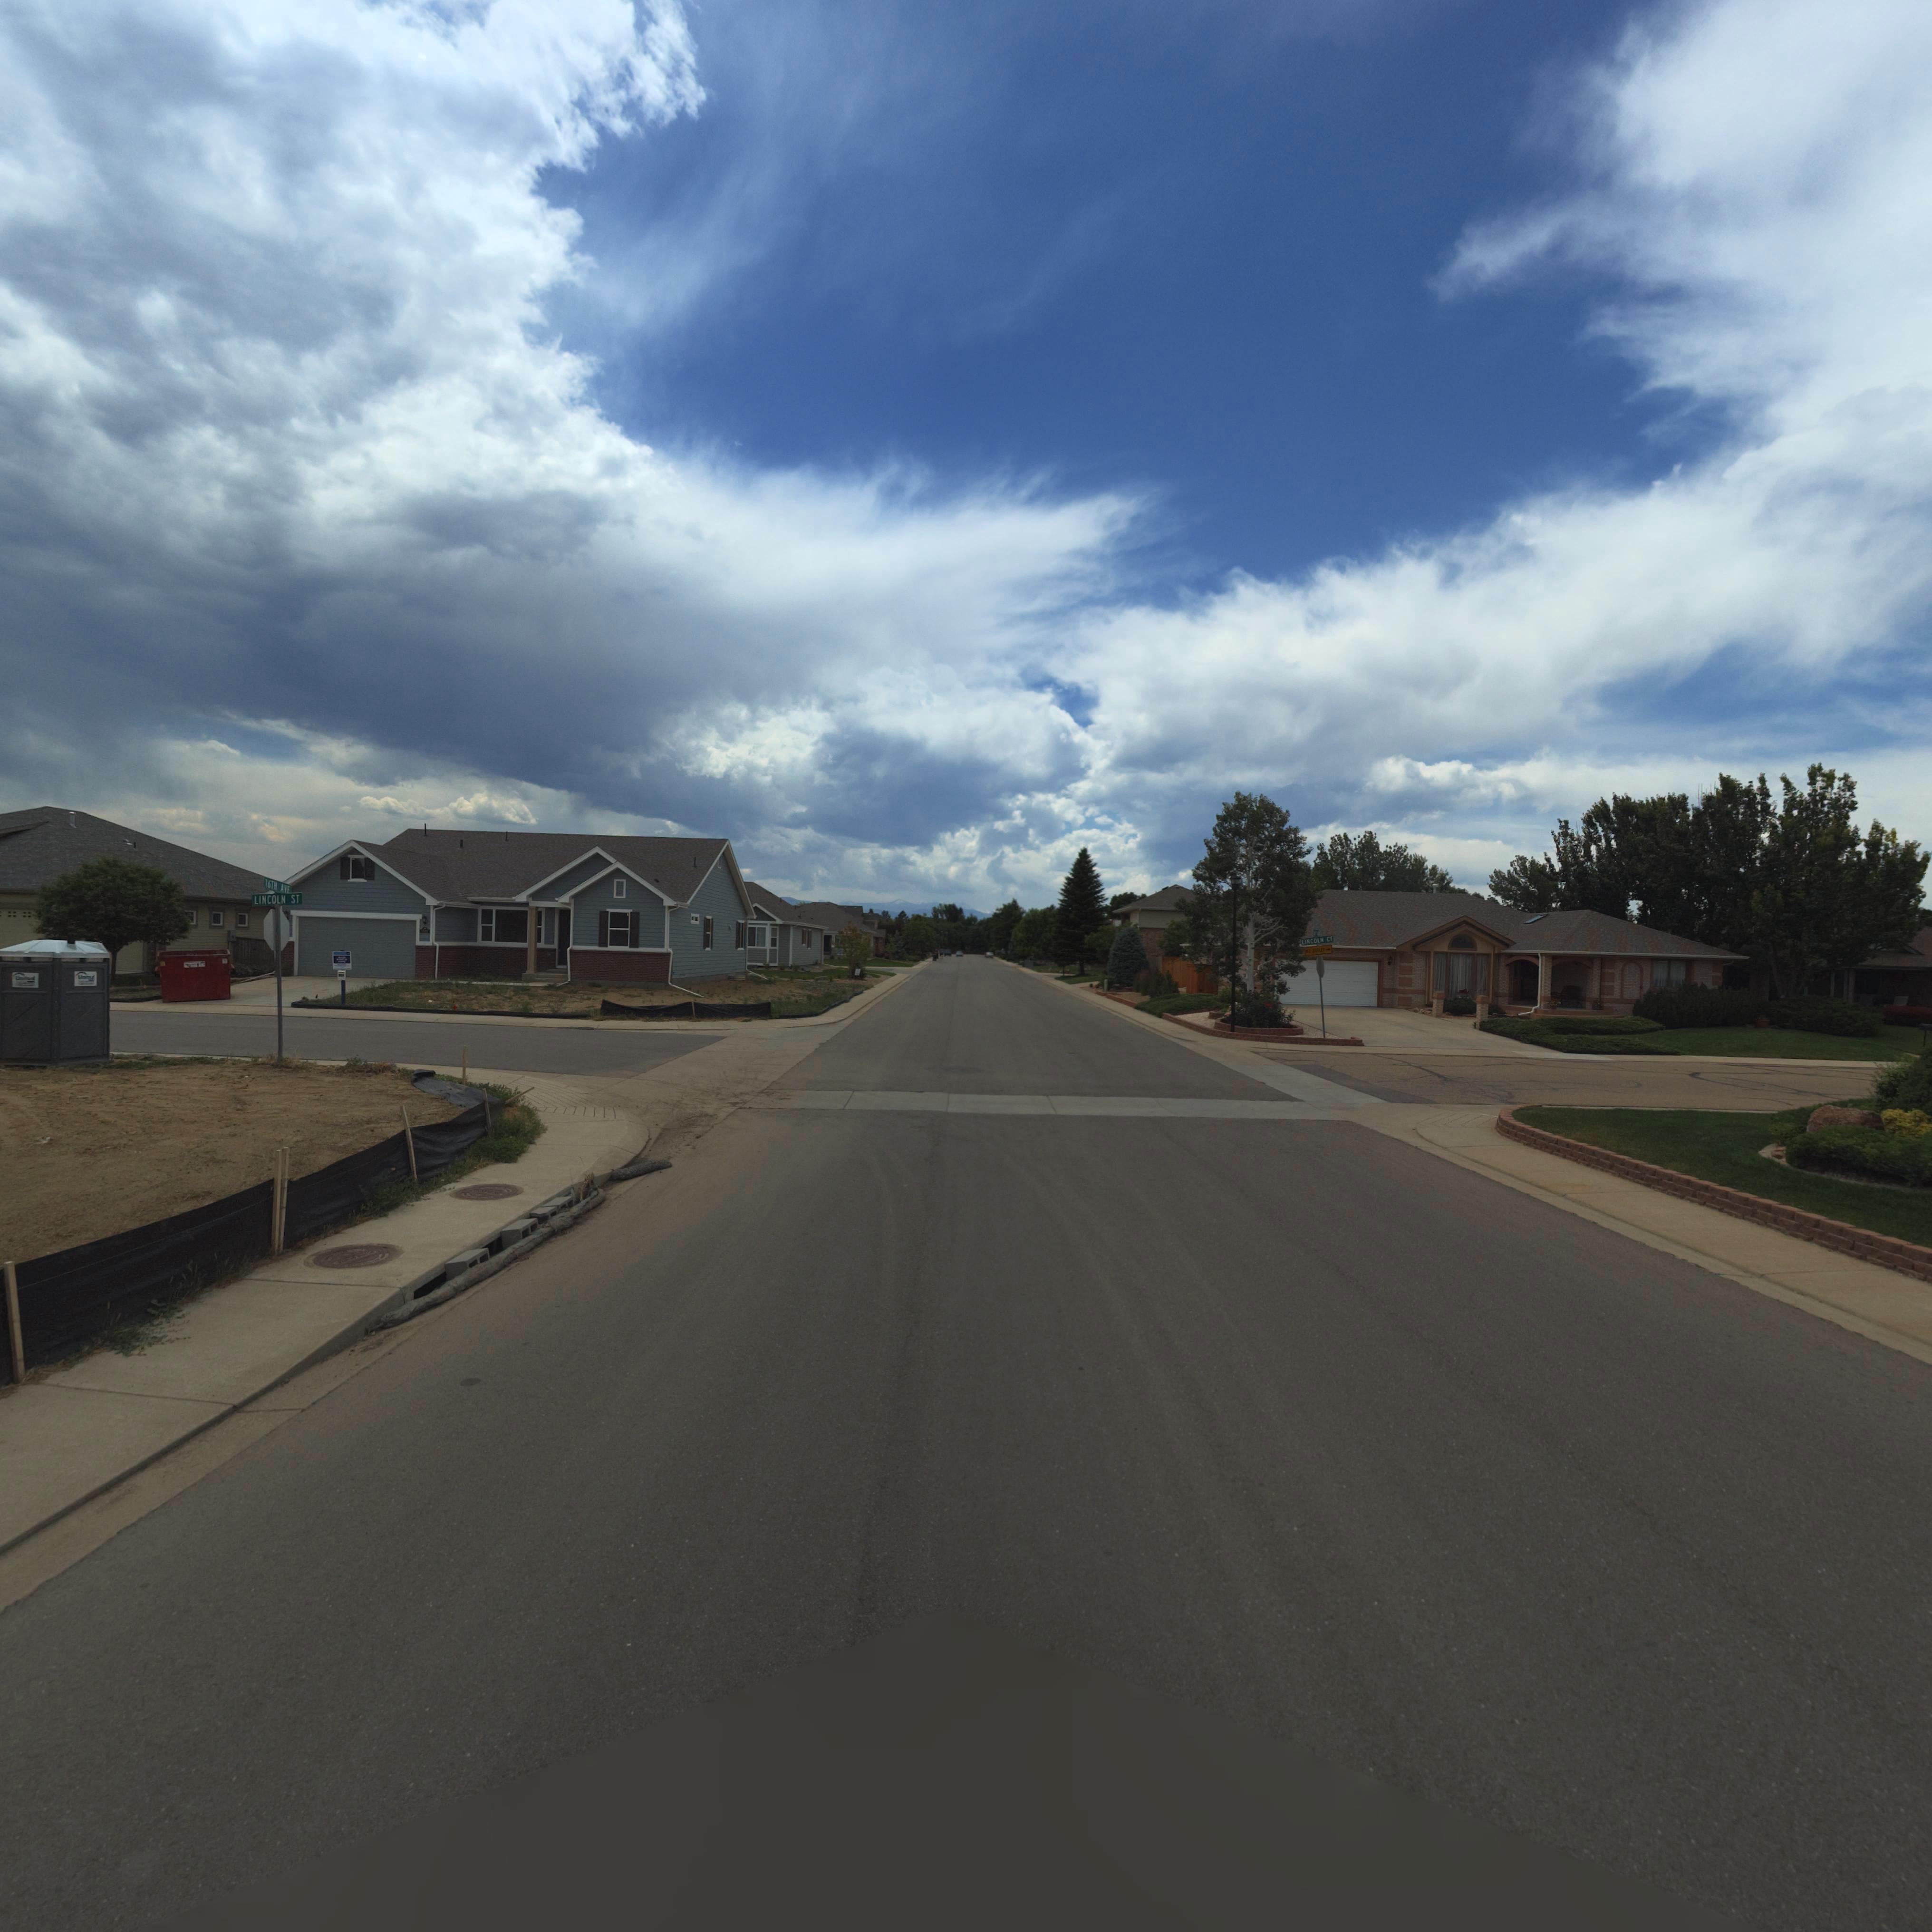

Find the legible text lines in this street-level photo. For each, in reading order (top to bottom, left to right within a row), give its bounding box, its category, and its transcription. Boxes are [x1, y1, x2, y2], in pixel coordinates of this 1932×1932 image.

[265, 878, 290, 894] StreetName: 16TH AVE
[254, 894, 299, 904] StreetName: LINCOLN ST
[1301, 936, 1333, 945] StreetName: LINCOLN CT